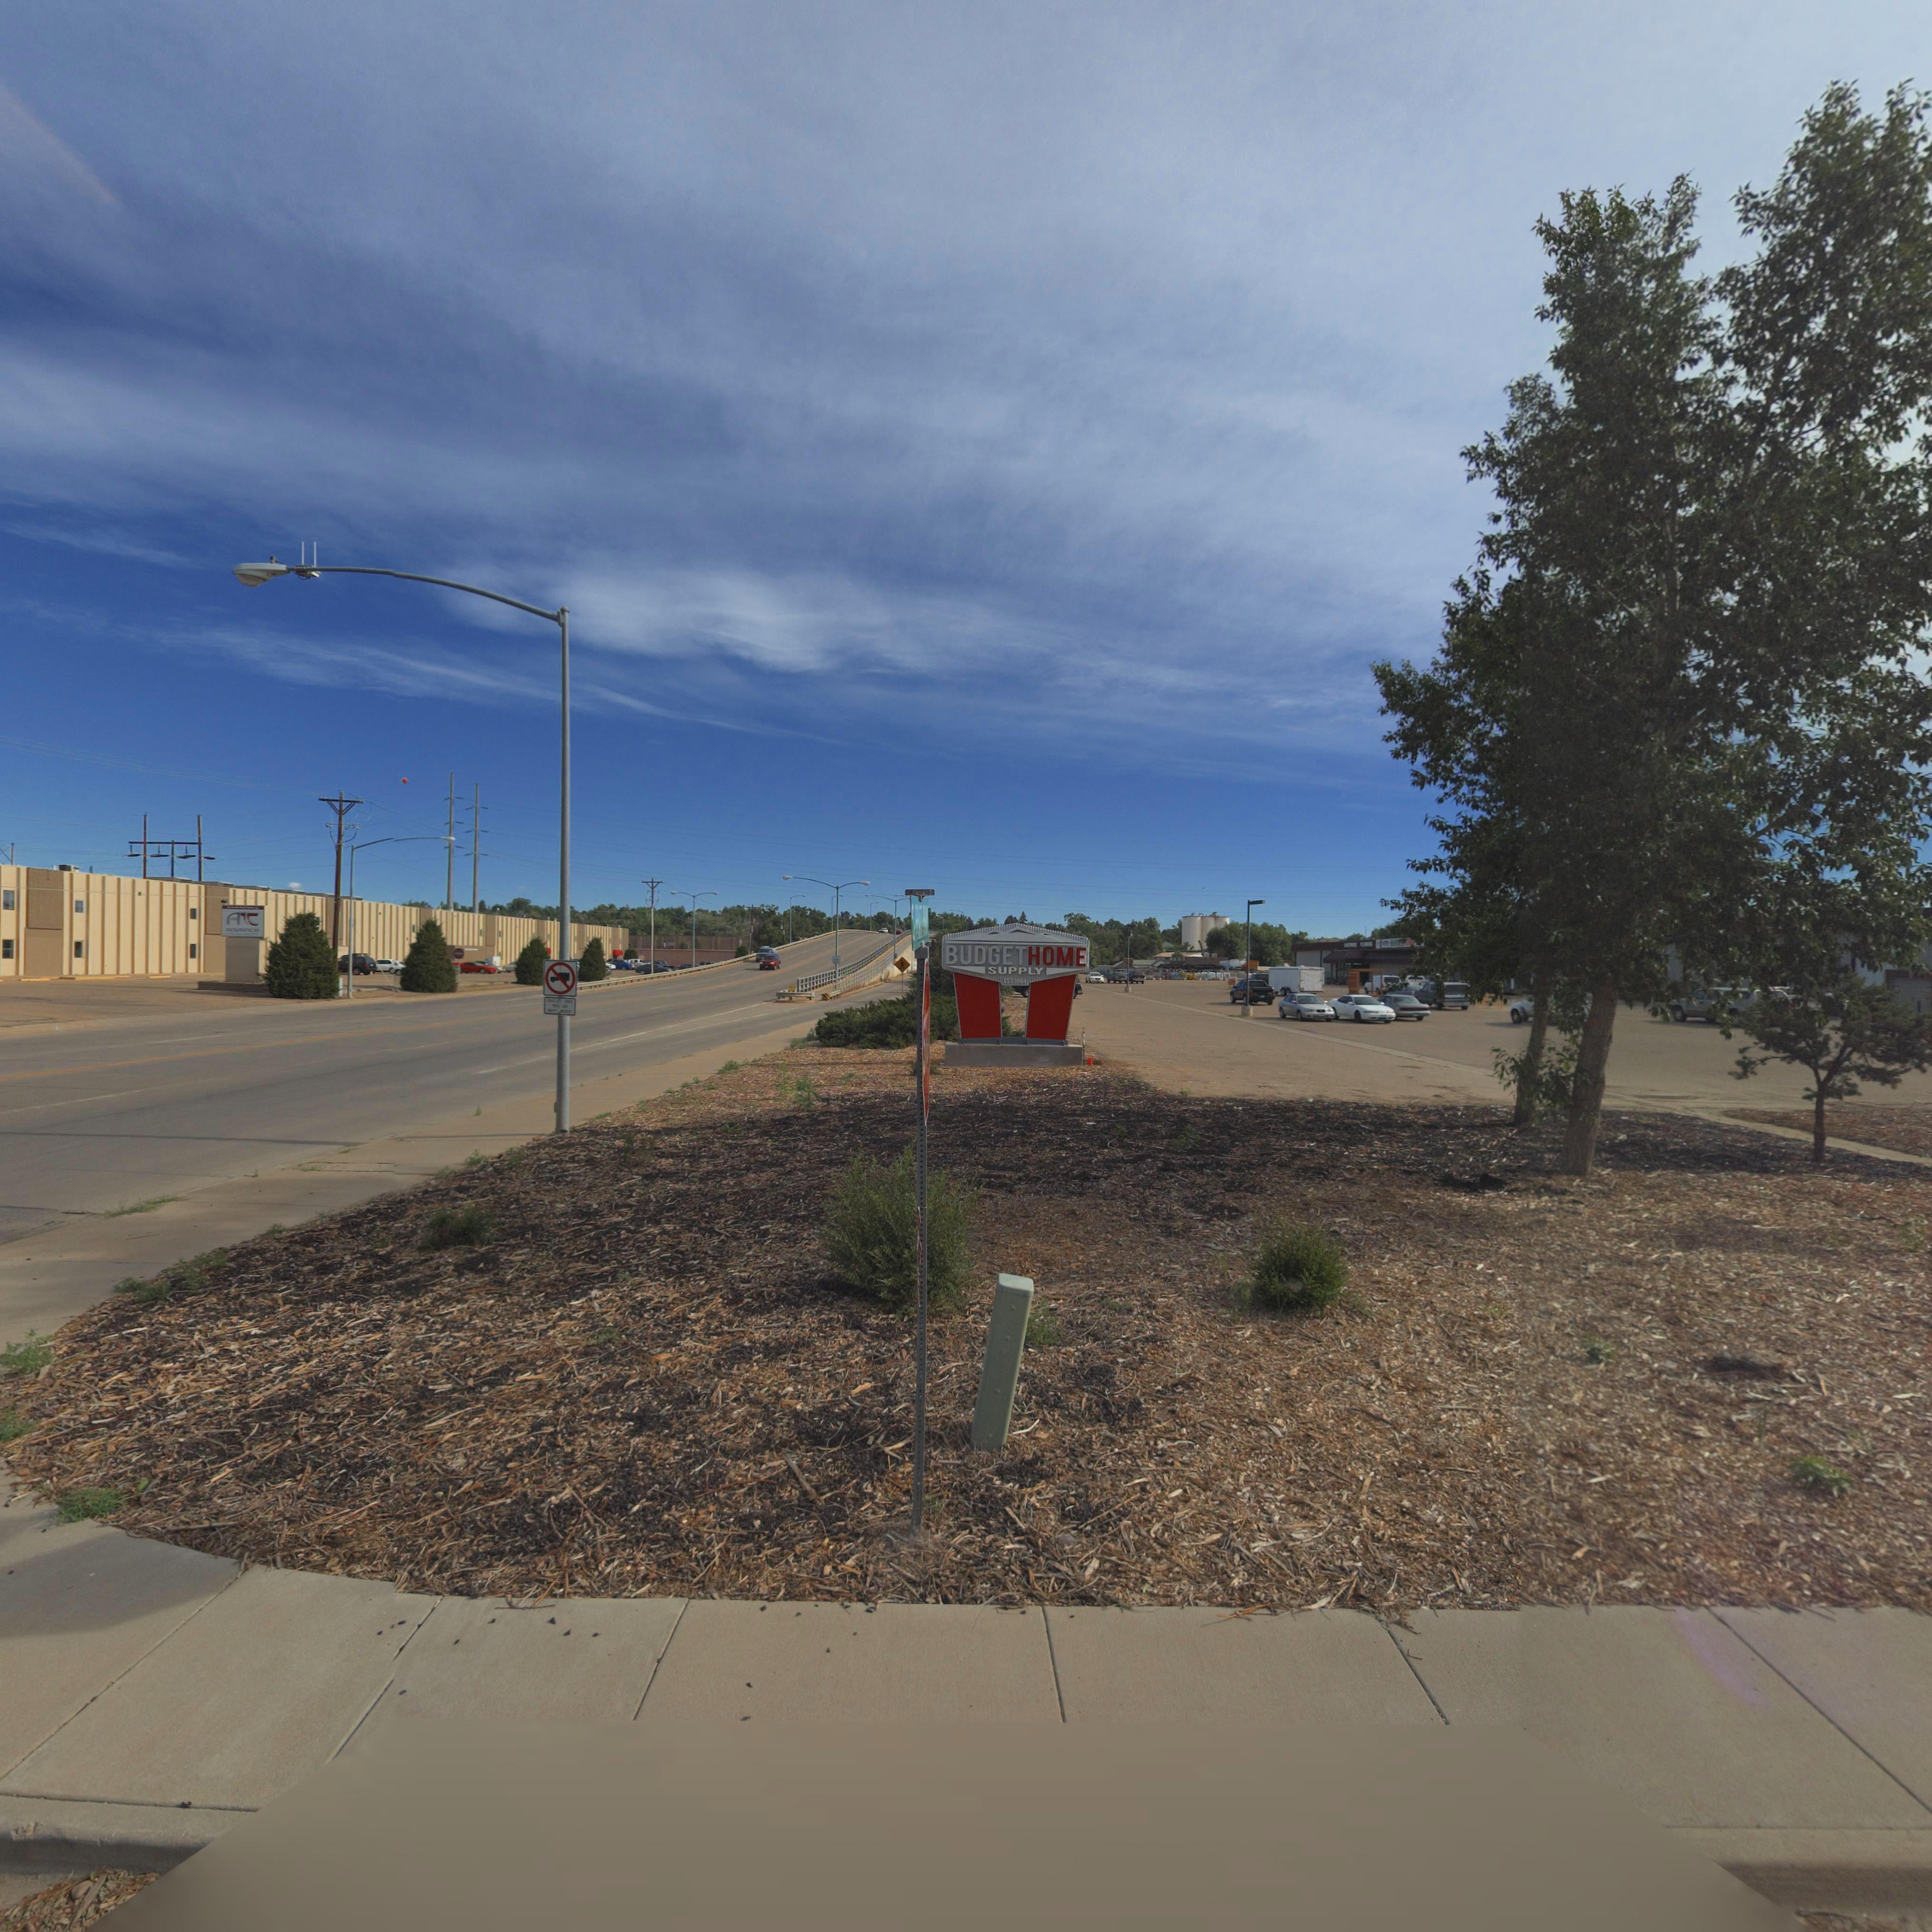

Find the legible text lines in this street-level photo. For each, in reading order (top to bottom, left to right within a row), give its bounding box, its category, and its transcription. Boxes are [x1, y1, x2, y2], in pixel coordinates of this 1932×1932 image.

[226, 912, 258, 926] BusinessName: A**
[911, 903, 928, 942] StreetName: S ***** ****
[1389, 938, 1416, 947] BusinessName: BU********
[944, 944, 1087, 967] BusinessName: BUDGETHOME
[987, 966, 1044, 976] BusinessName: SUPPLY